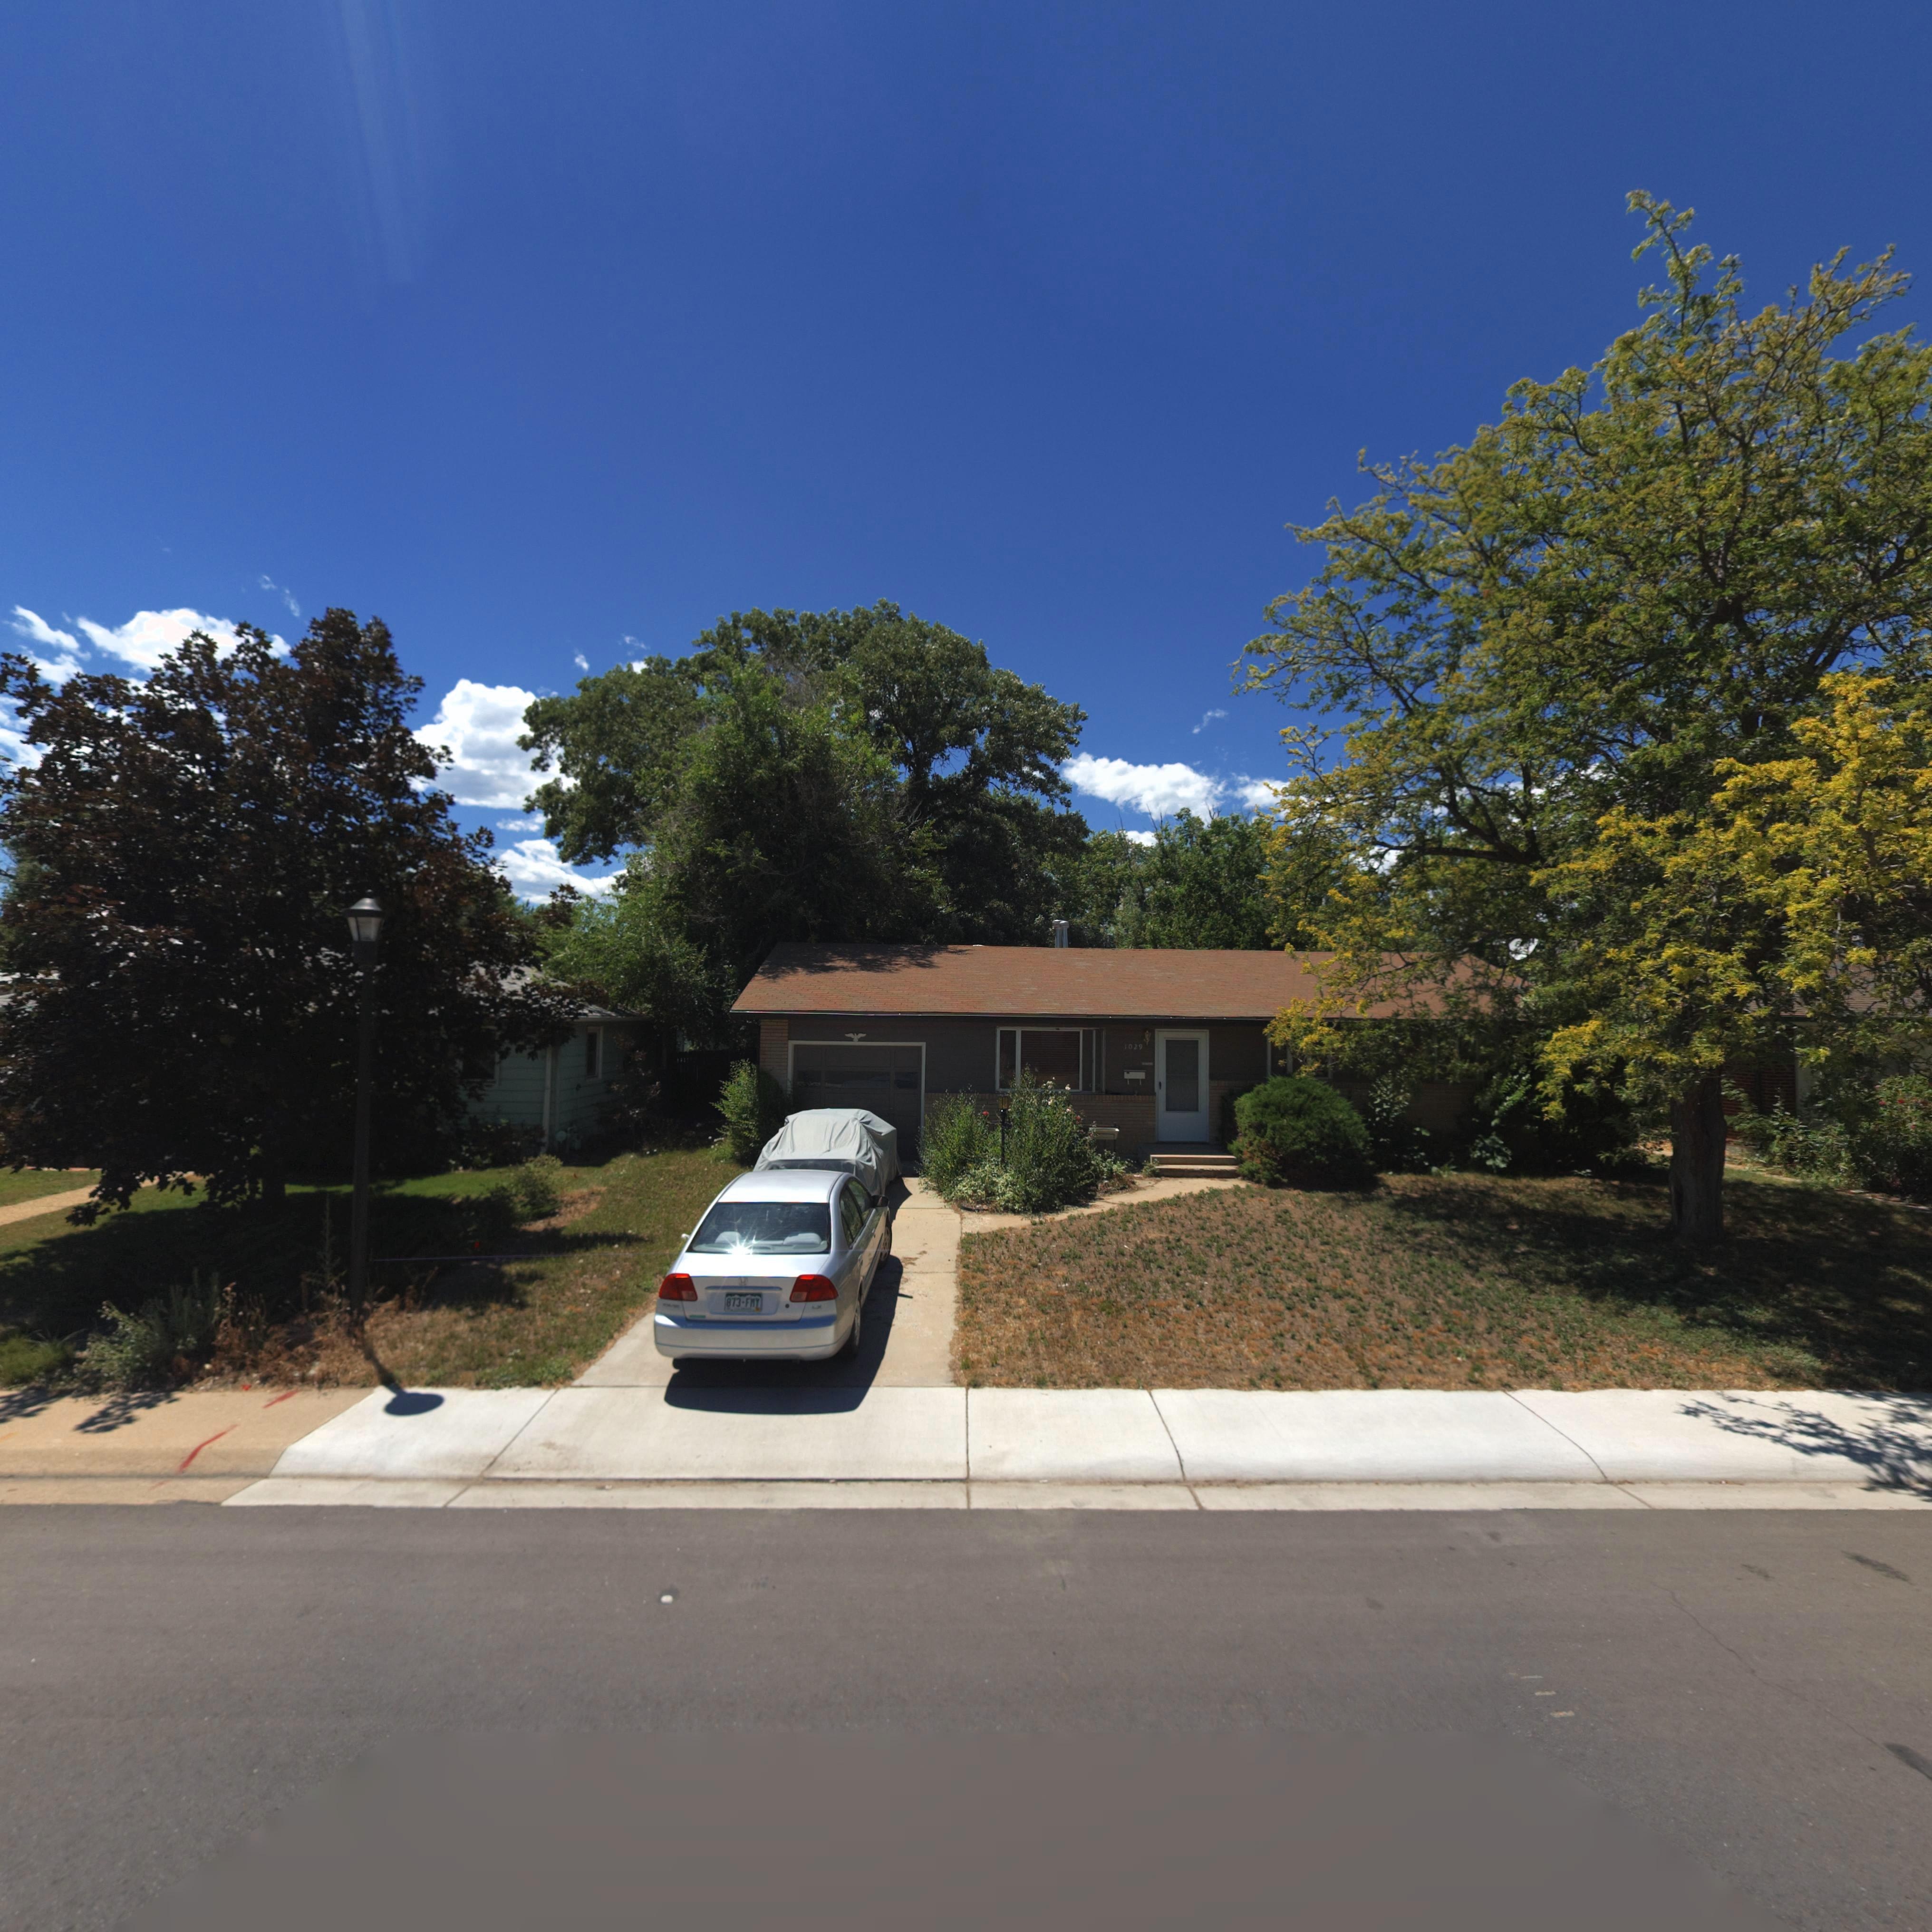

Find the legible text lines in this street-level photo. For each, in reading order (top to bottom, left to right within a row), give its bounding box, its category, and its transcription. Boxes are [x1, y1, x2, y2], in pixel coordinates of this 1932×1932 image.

[1124, 1043, 1142, 1050] StreetNumber: 1029